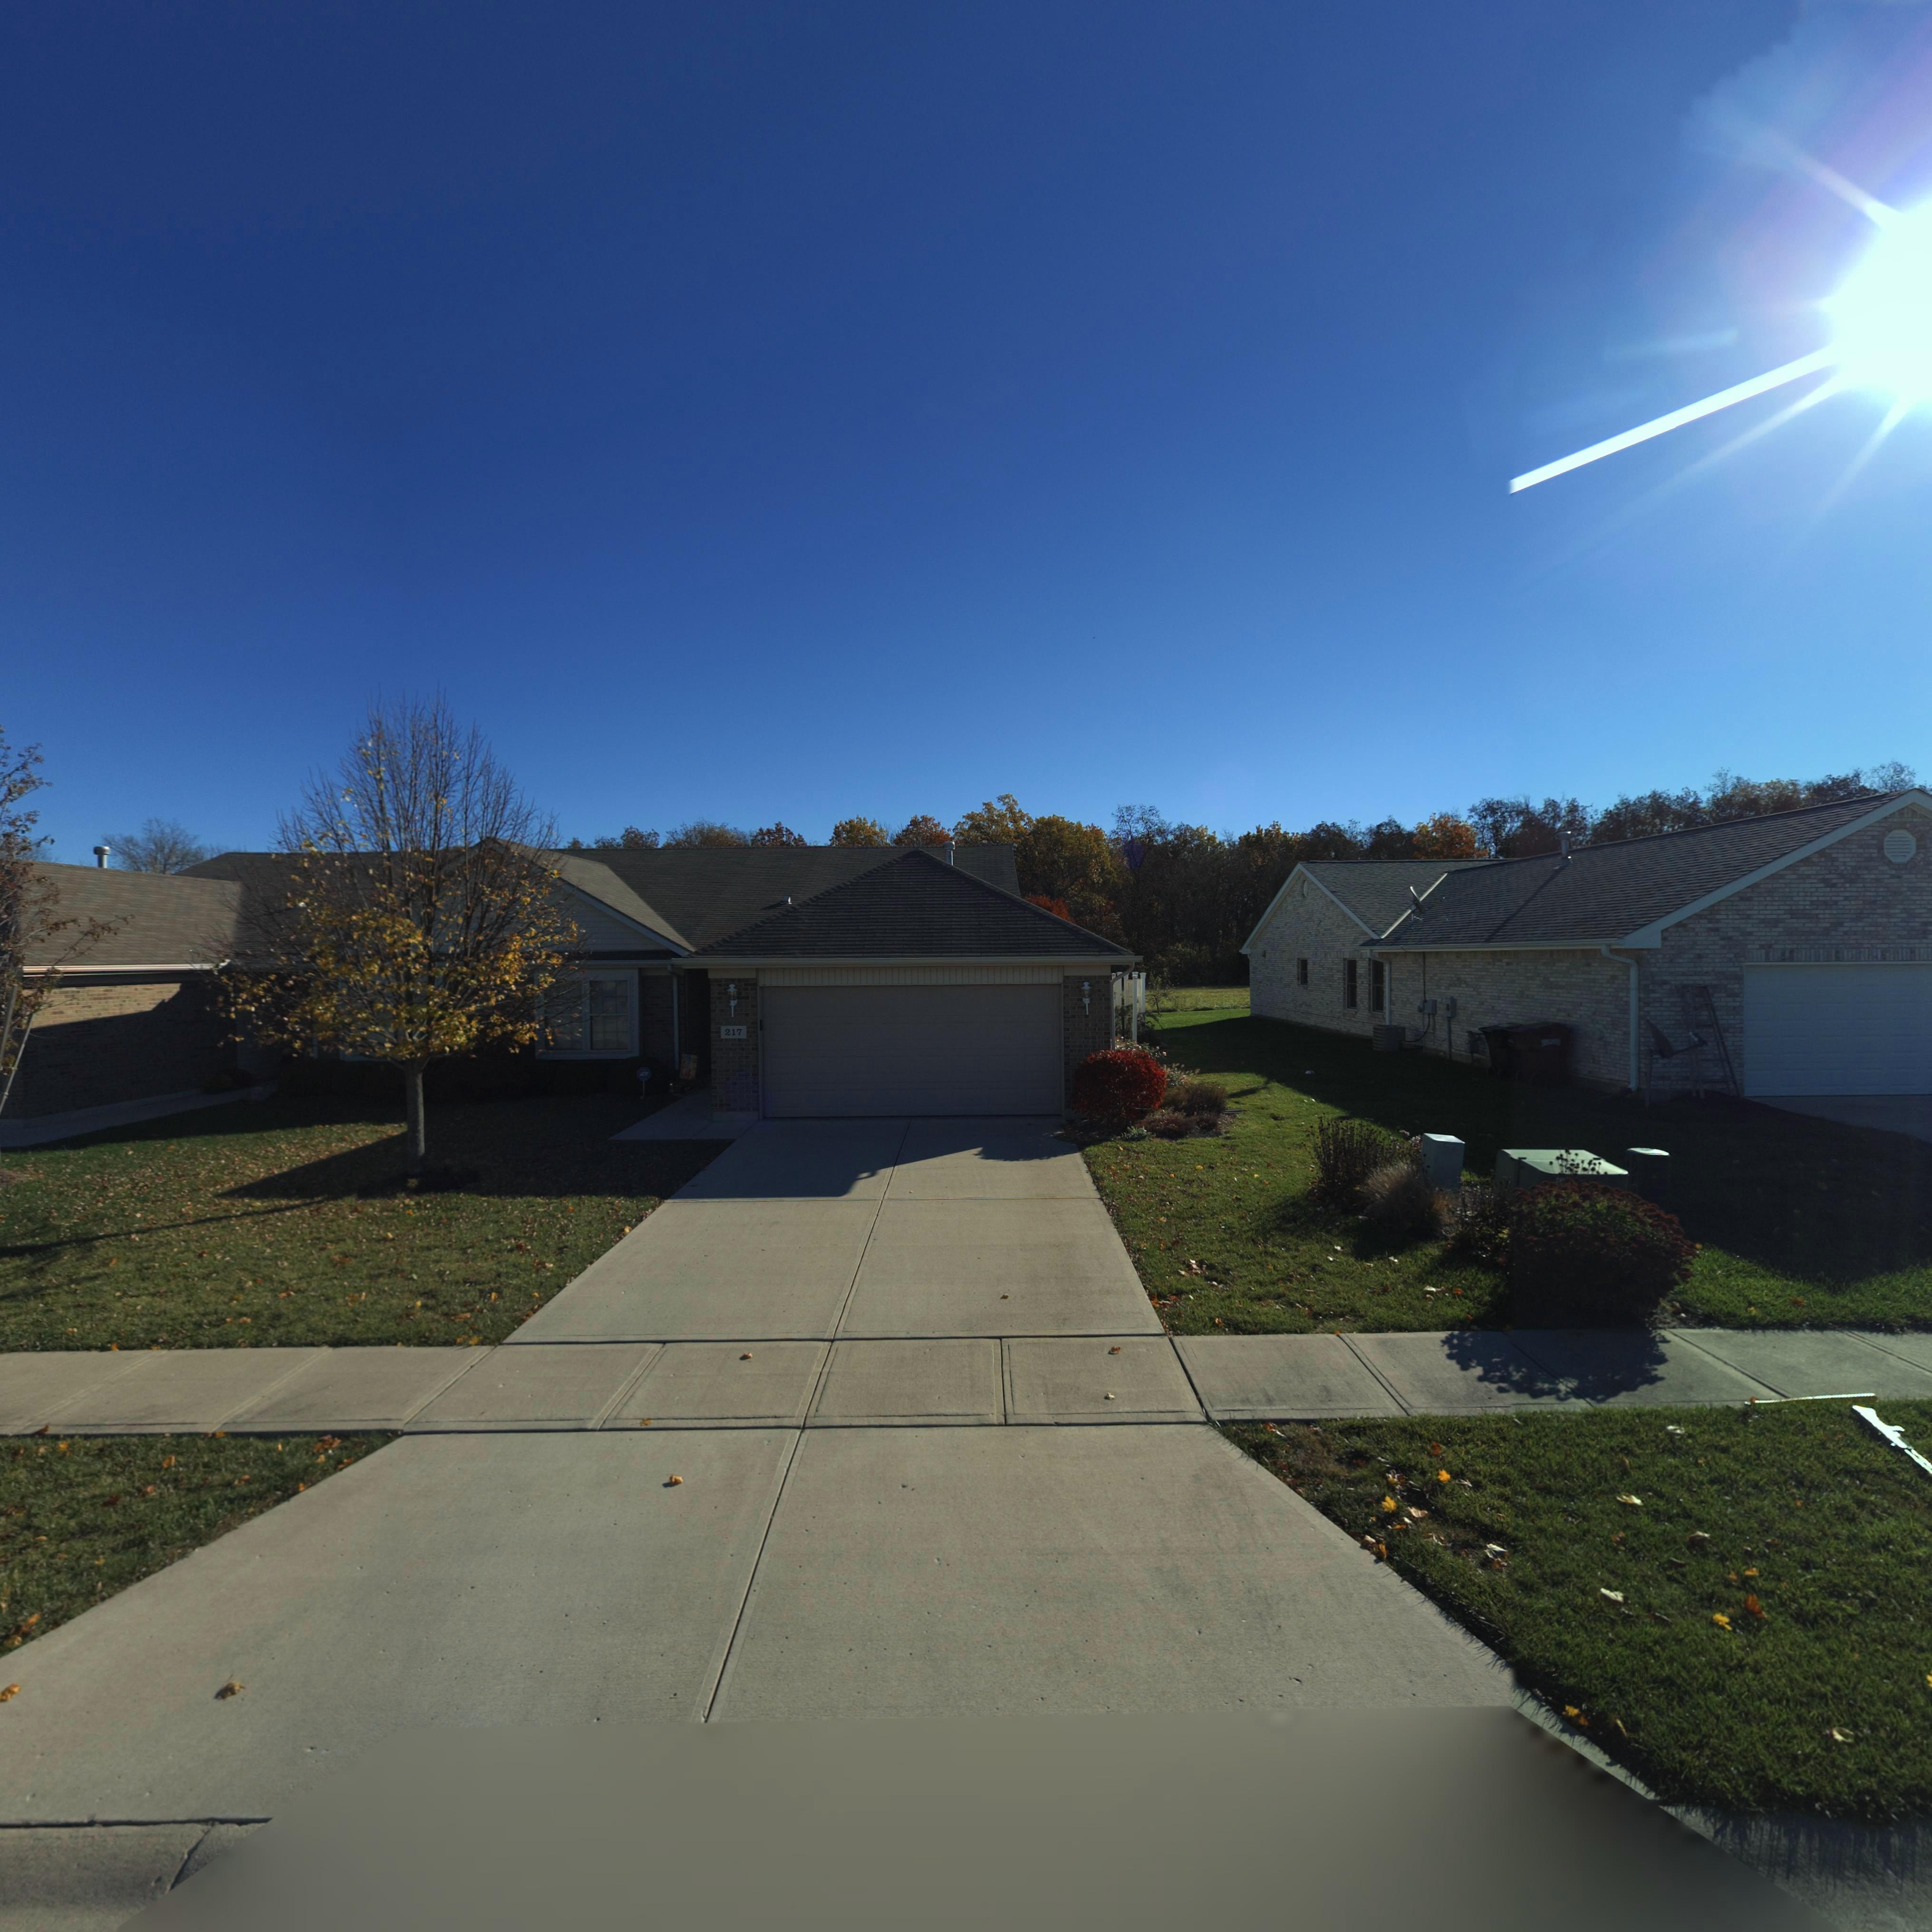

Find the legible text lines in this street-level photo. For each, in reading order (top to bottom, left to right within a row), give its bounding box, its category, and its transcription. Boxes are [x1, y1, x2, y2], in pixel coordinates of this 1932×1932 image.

[724, 1028, 743, 1036] StreetNumber: 217